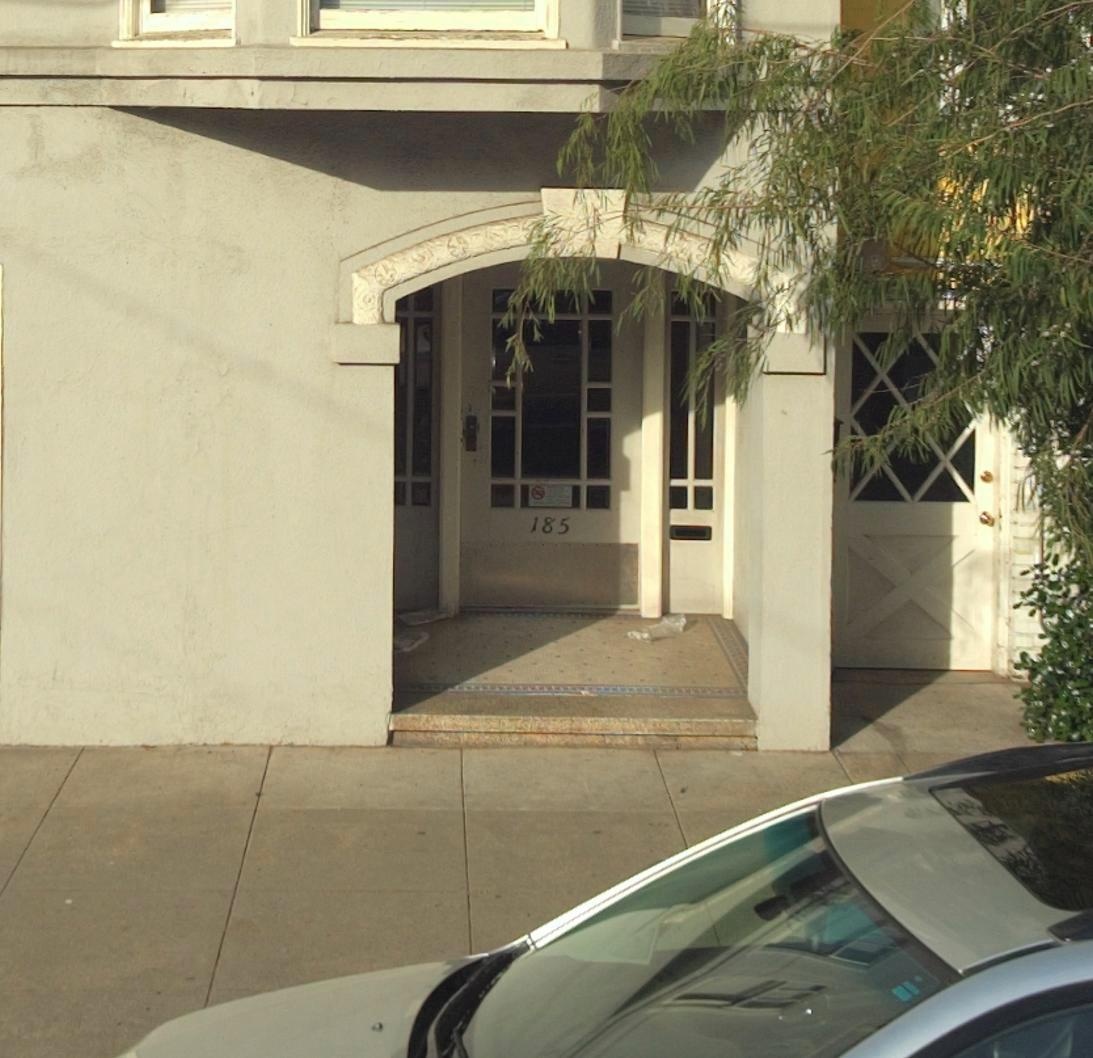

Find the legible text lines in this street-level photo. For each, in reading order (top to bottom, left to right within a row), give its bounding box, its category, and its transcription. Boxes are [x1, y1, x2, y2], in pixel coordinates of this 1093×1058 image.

[526, 515, 572, 537] StreetNumber: 185